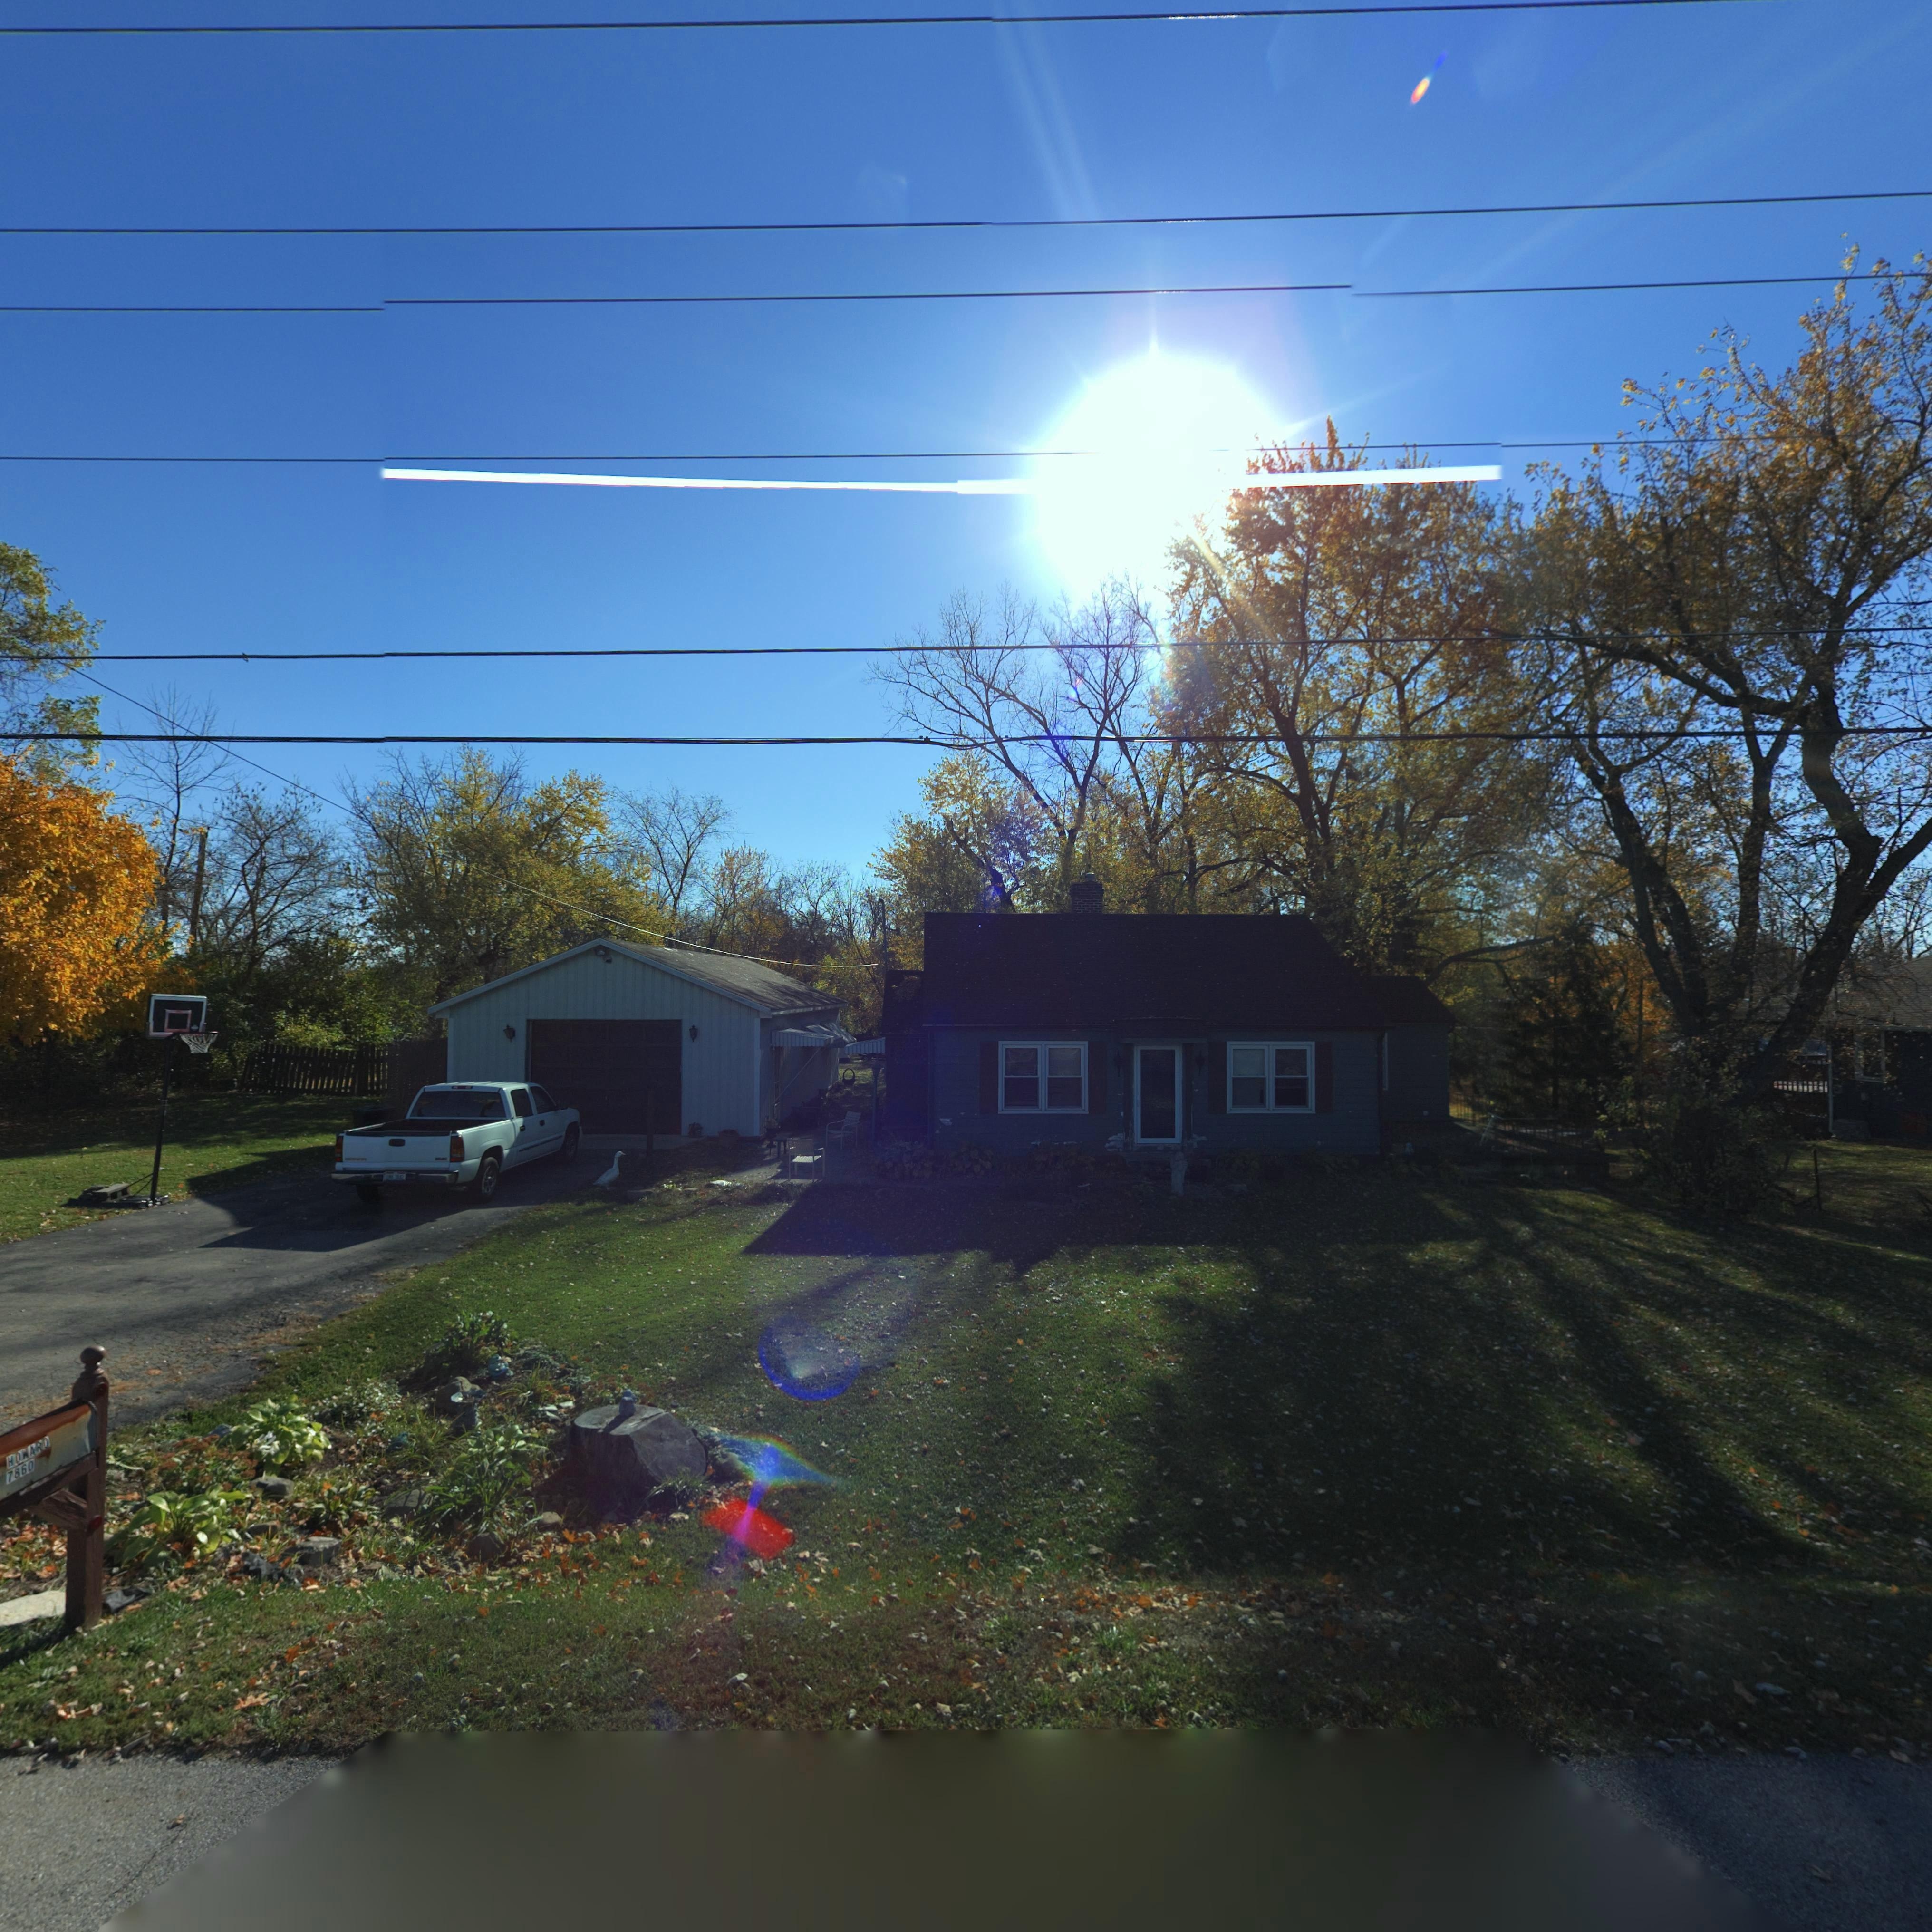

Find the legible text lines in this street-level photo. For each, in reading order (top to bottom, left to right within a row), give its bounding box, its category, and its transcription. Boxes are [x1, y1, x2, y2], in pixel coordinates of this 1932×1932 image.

[6, 1459, 34, 1485] StreetNumber: 7860